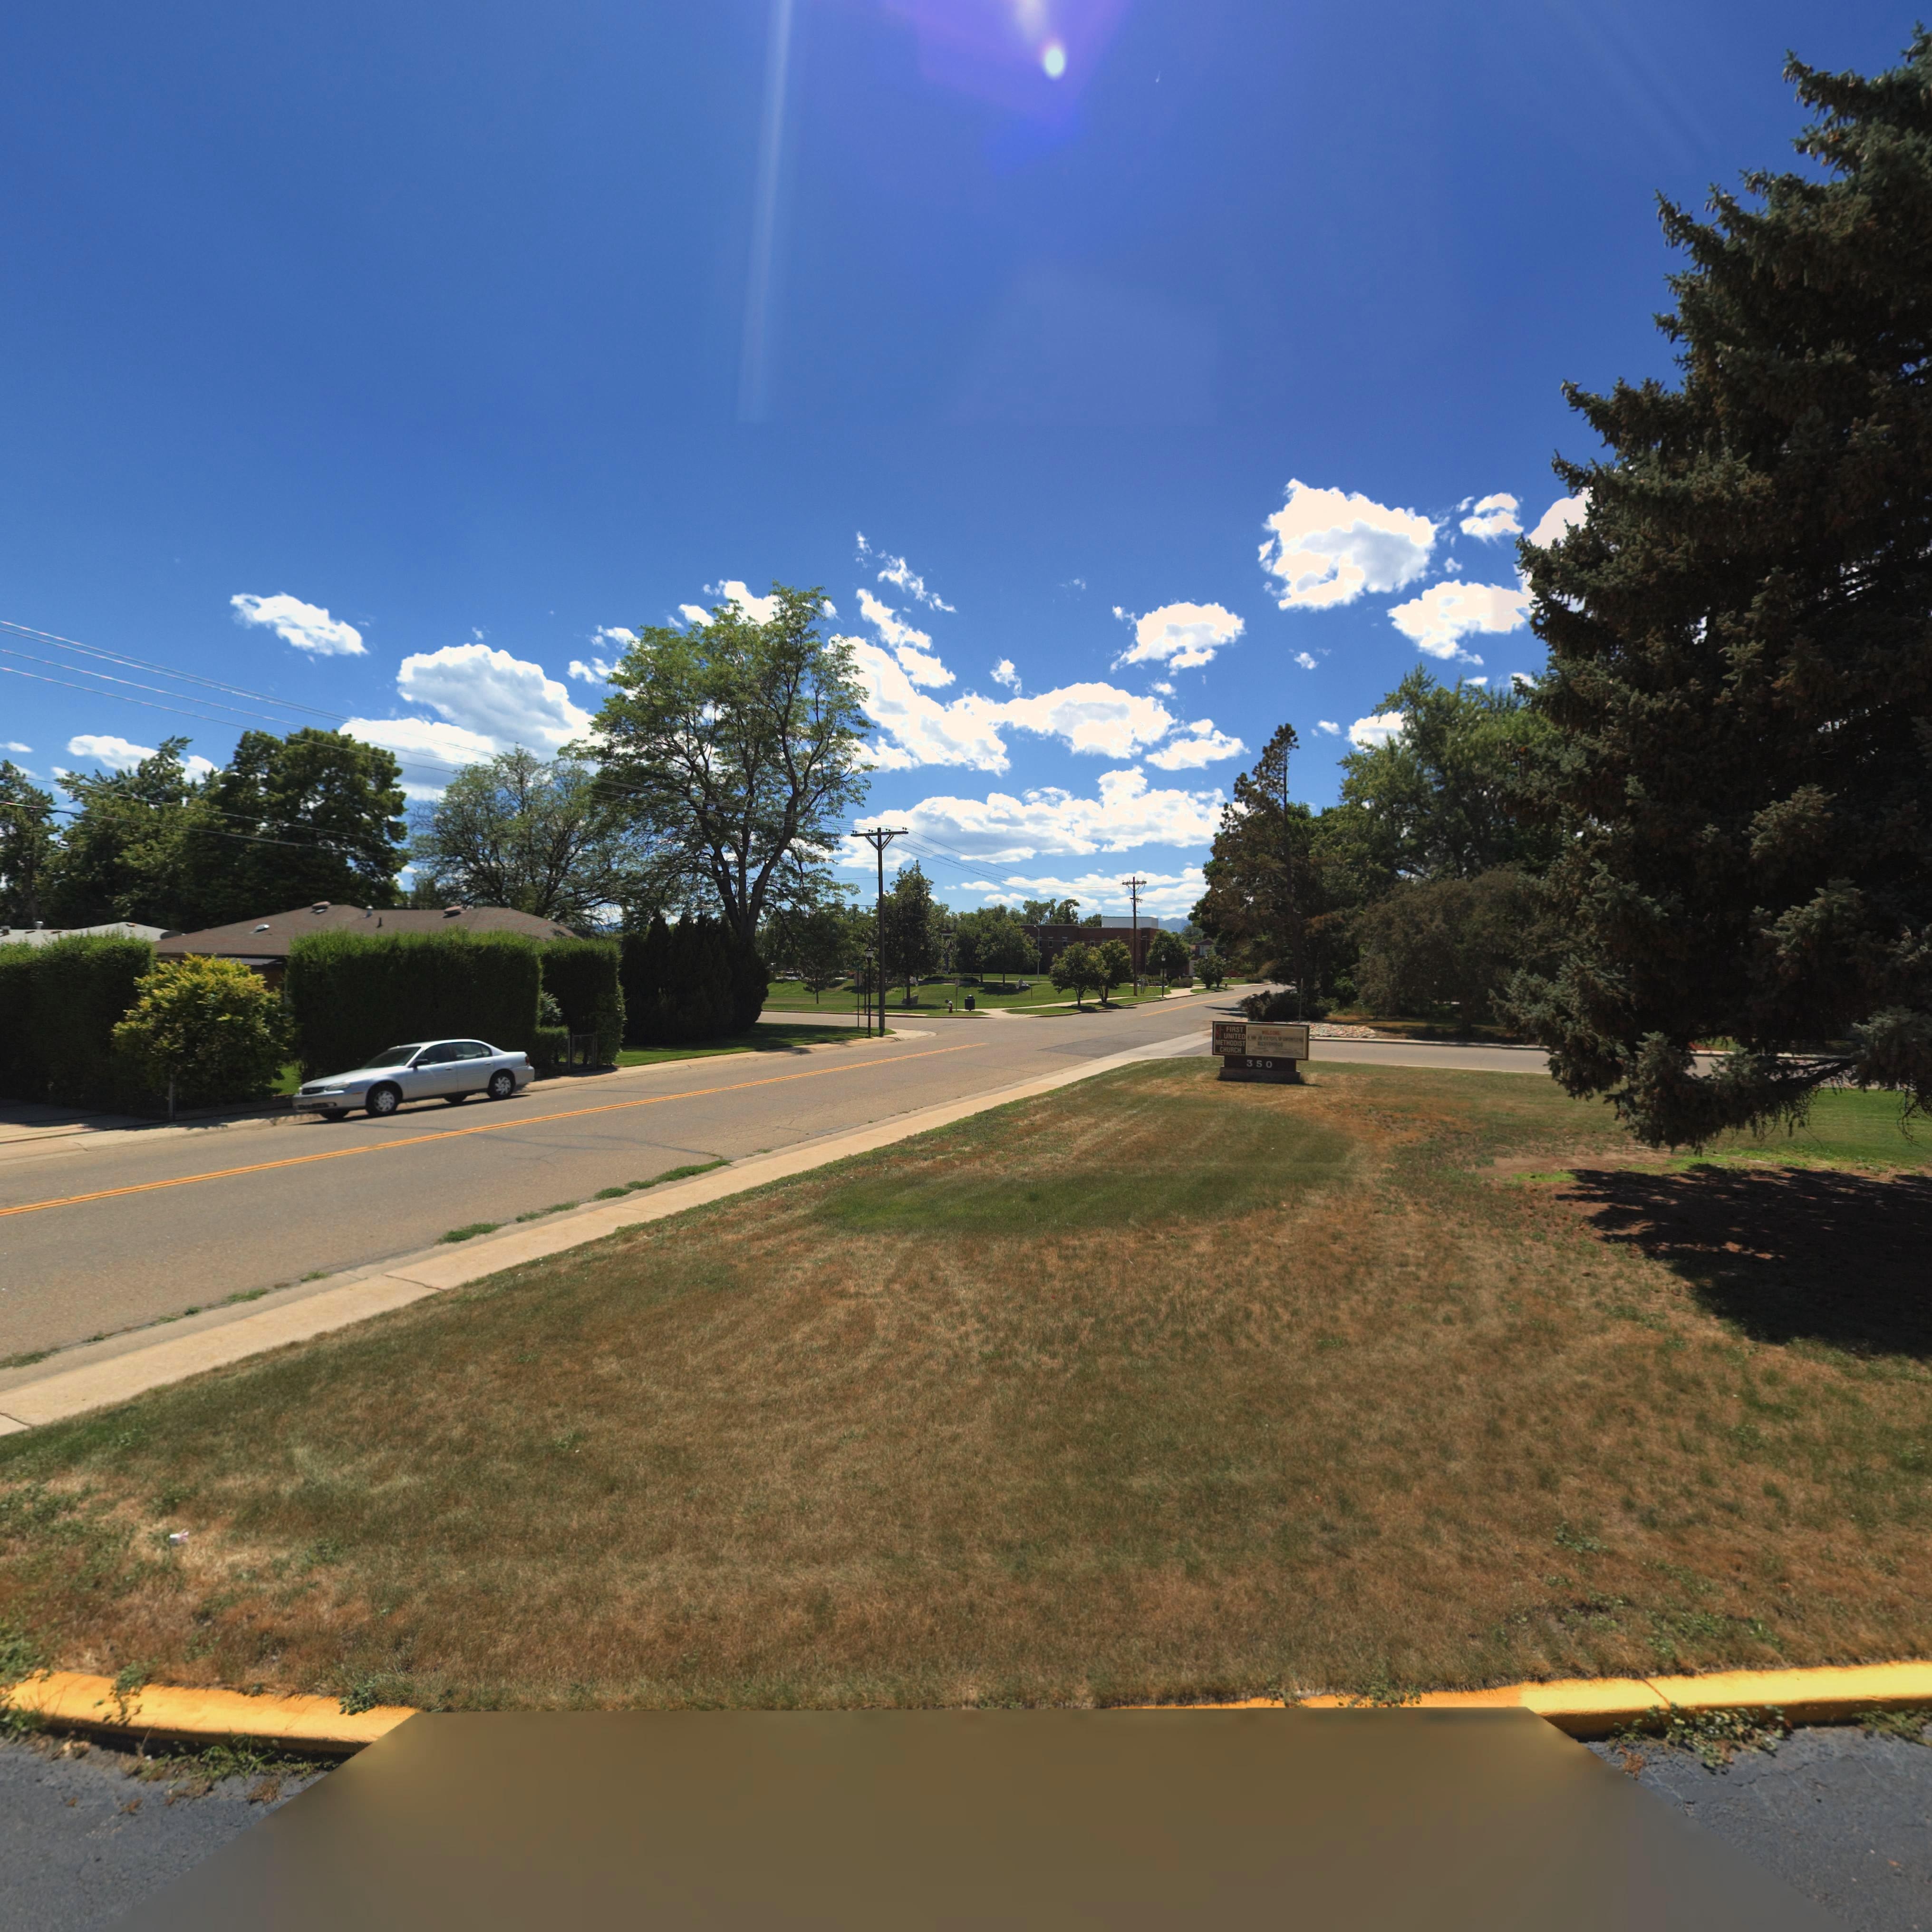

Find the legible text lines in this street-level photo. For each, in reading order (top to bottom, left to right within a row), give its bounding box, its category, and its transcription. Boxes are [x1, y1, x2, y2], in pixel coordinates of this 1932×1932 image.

[1226, 1026, 1244, 1033] BusinessName: FIRST
[1223, 1033, 1246, 1040] BusinessName: UNITED
[1215, 1039, 1246, 1047] BusinessName: *ETHODIST
[1219, 1046, 1241, 1053] BusinessName: CHURCH
[1246, 1059, 1273, 1068] StreetNumber: 350